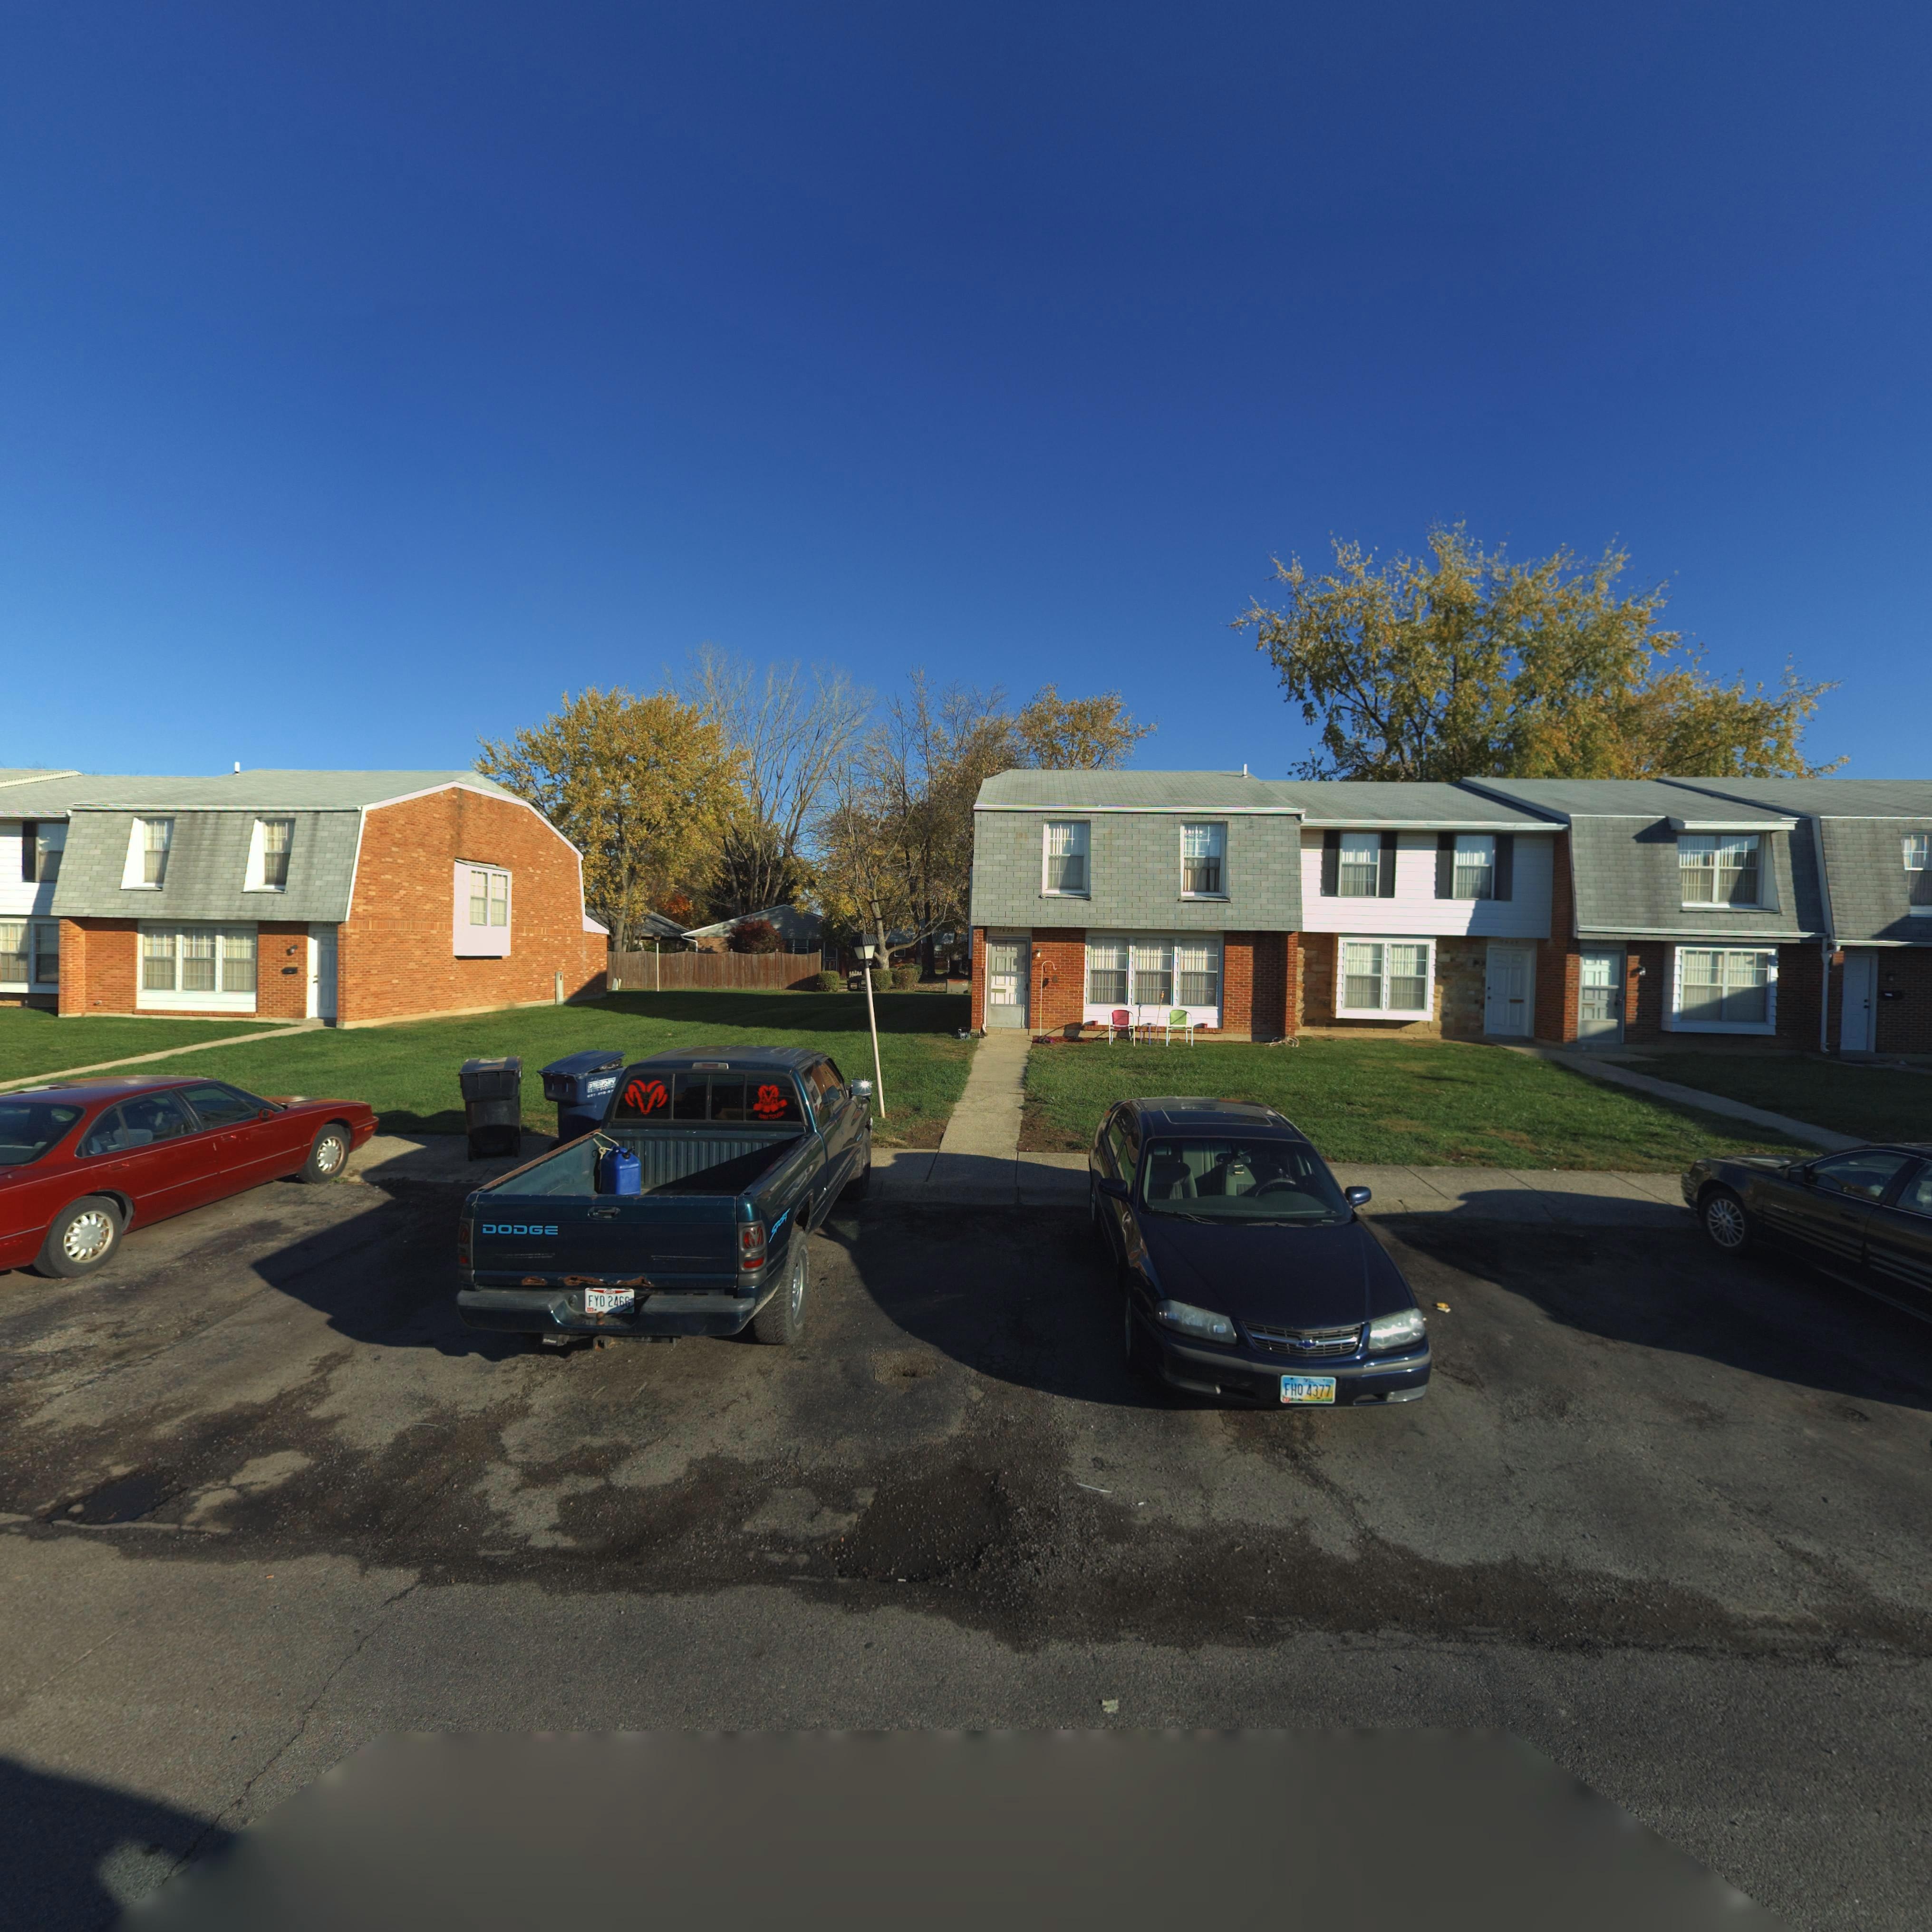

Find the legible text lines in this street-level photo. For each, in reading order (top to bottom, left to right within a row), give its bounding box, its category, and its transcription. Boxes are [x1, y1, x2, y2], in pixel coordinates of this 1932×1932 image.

[321, 922, 337, 927] StreetNumber: 7630
[998, 927, 1014, 932] StreetNumber: 7626
[1498, 938, 1520, 946] StreetNumber: *624
[1593, 939, 1611, 946] StreetNumber: 7622
[1844, 945, 1862, 951] StreetNumber: 7620